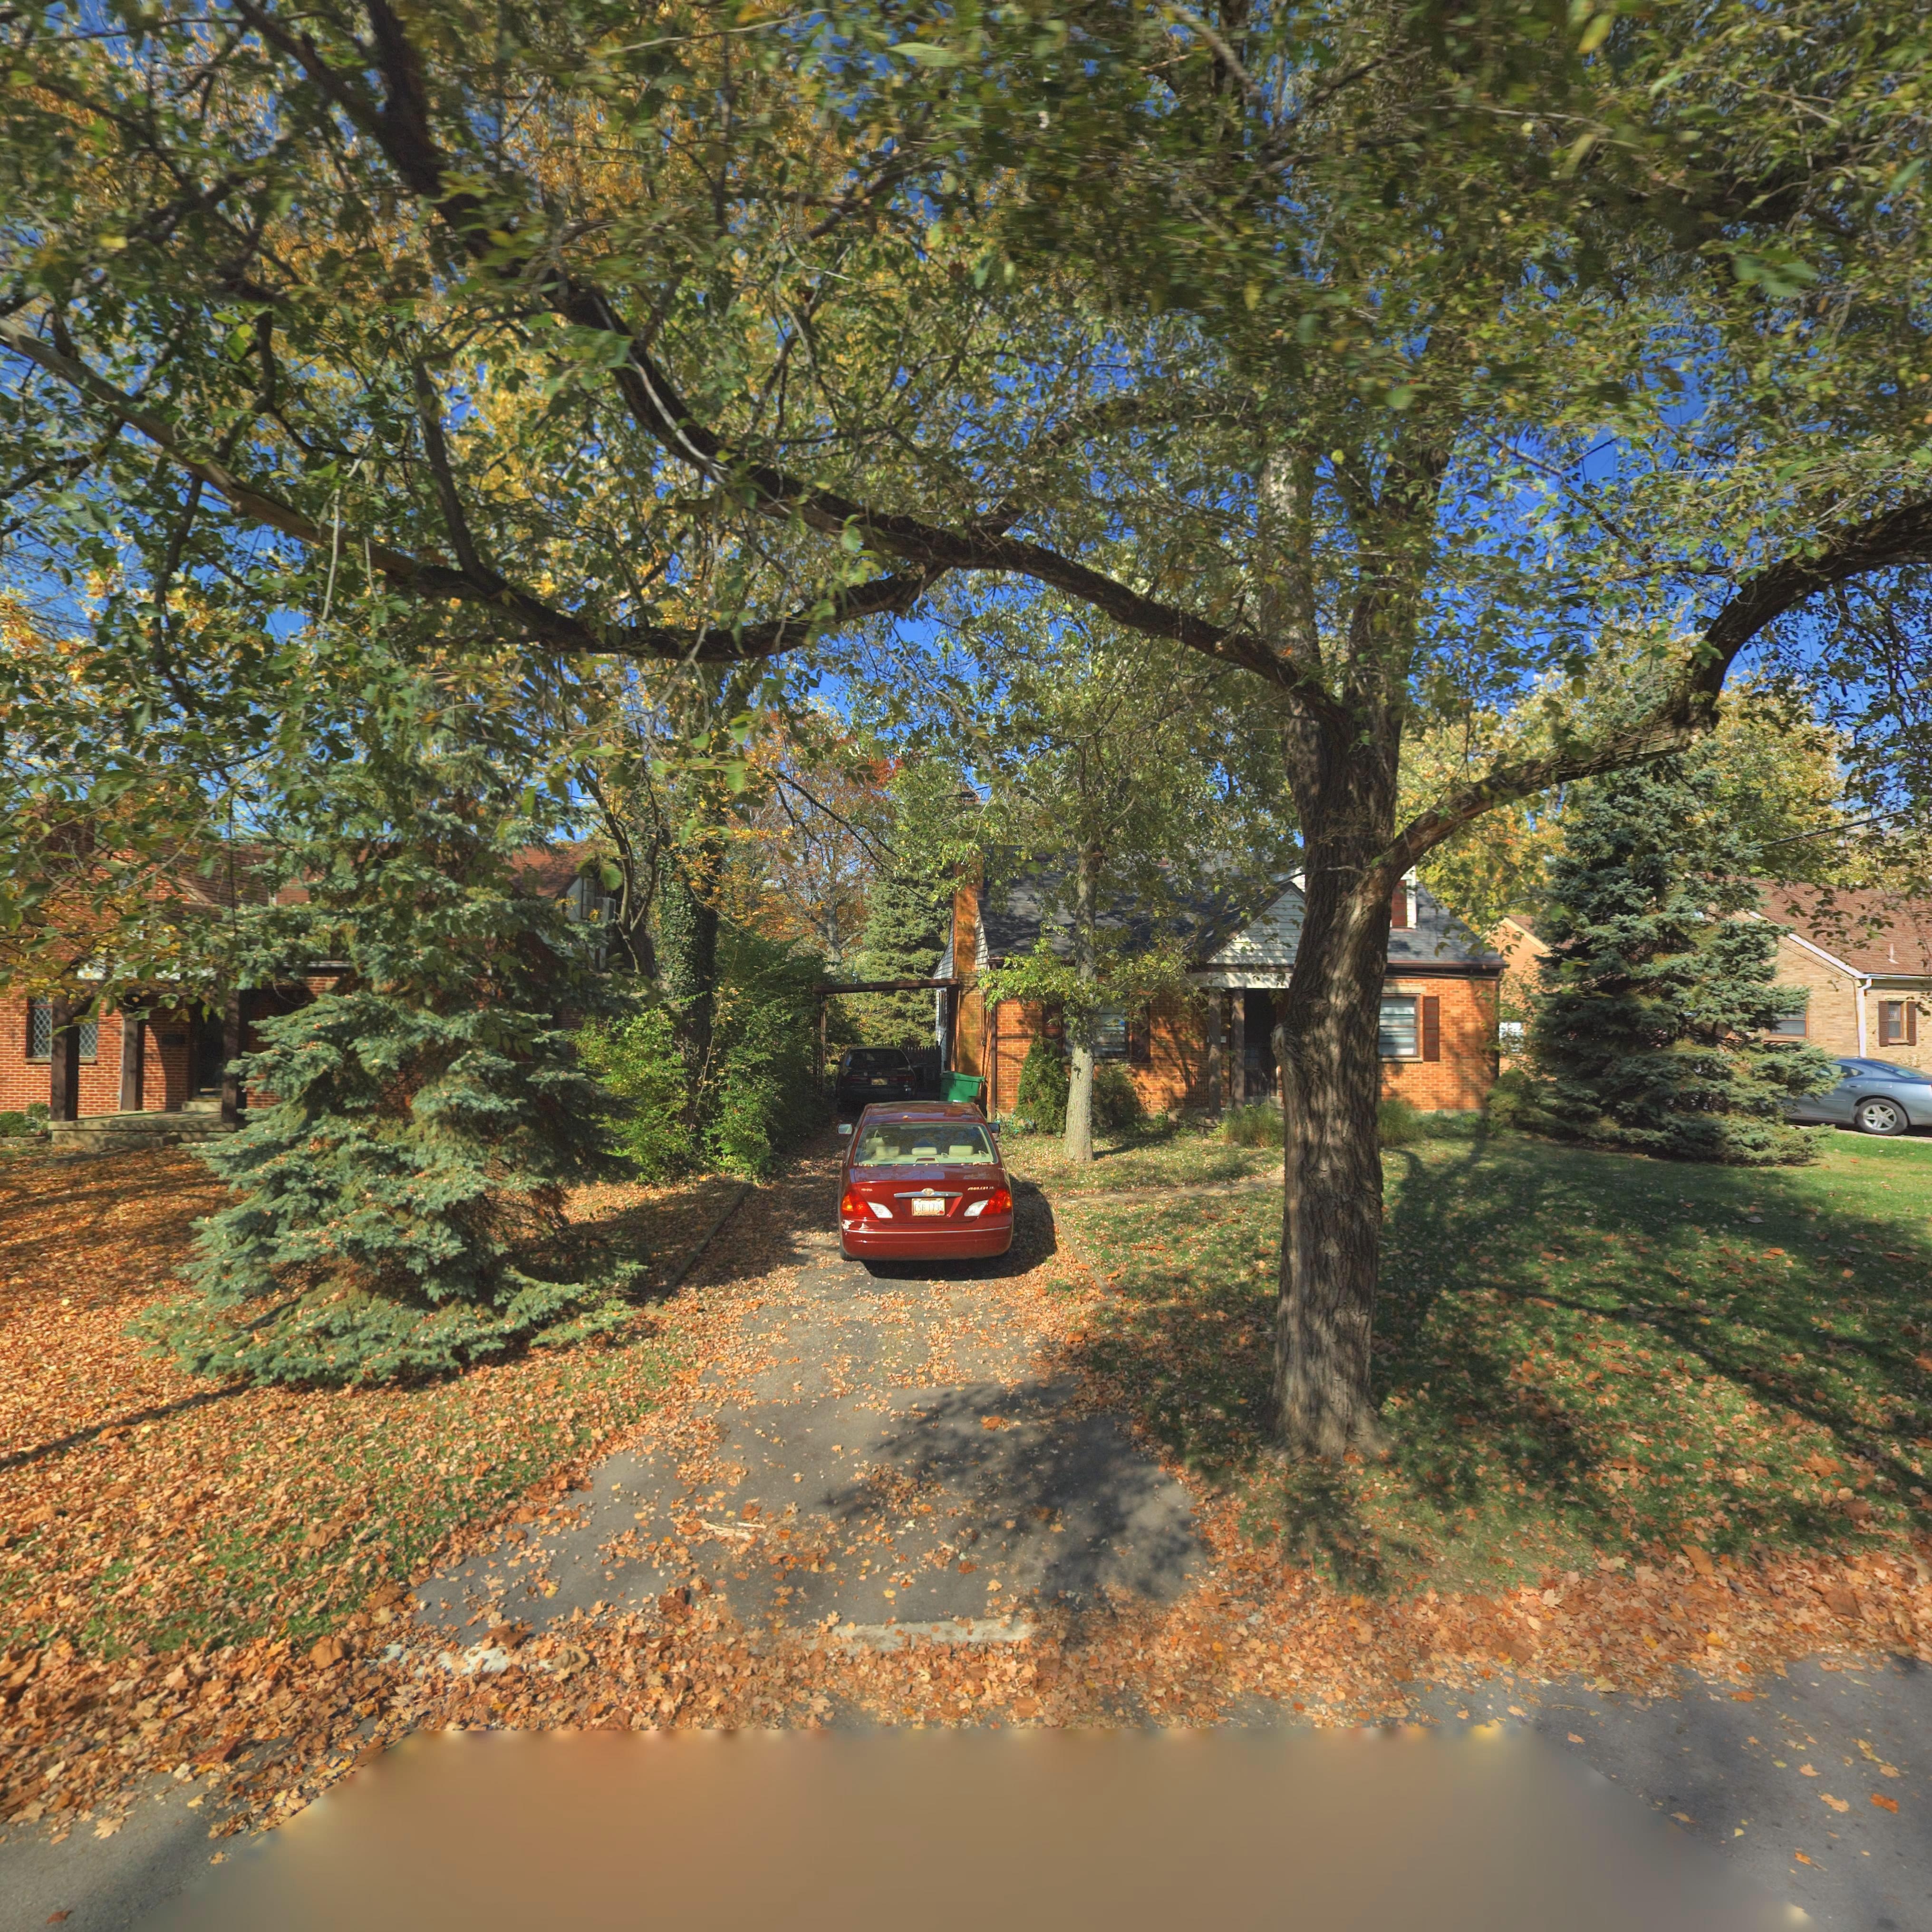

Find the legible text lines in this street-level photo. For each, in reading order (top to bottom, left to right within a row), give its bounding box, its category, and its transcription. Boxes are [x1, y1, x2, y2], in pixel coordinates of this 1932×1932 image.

[914, 1202, 944, 1213] None: CSB 1796